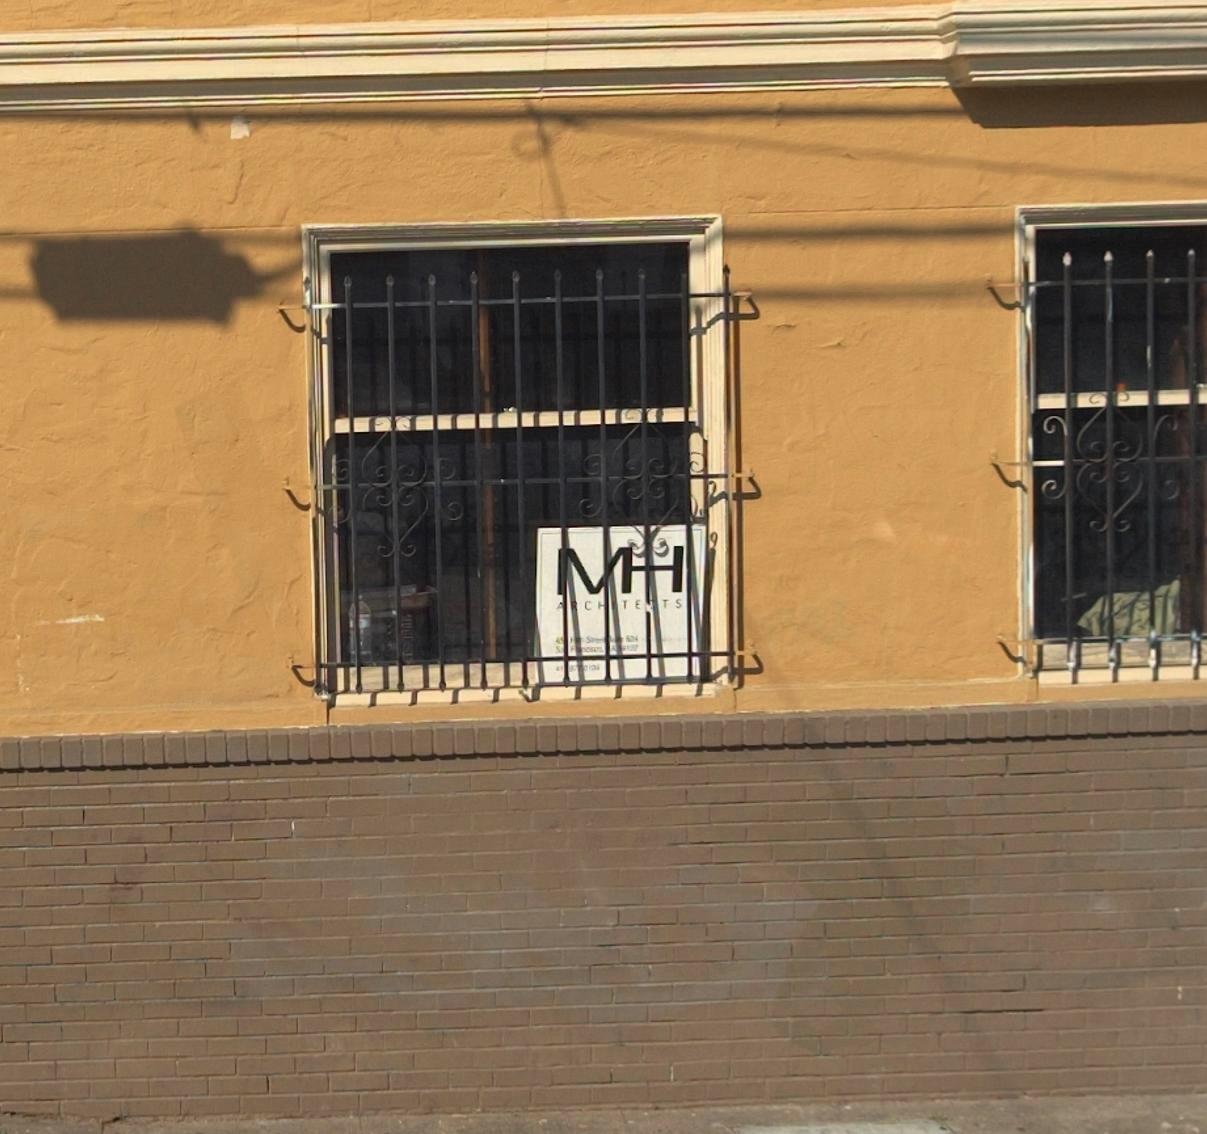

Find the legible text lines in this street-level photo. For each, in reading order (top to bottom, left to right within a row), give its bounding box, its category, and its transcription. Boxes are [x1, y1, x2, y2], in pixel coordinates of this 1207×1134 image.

[556, 545, 684, 597] BusinessName: MH
[553, 597, 683, 612] None: ARCHITE*TS